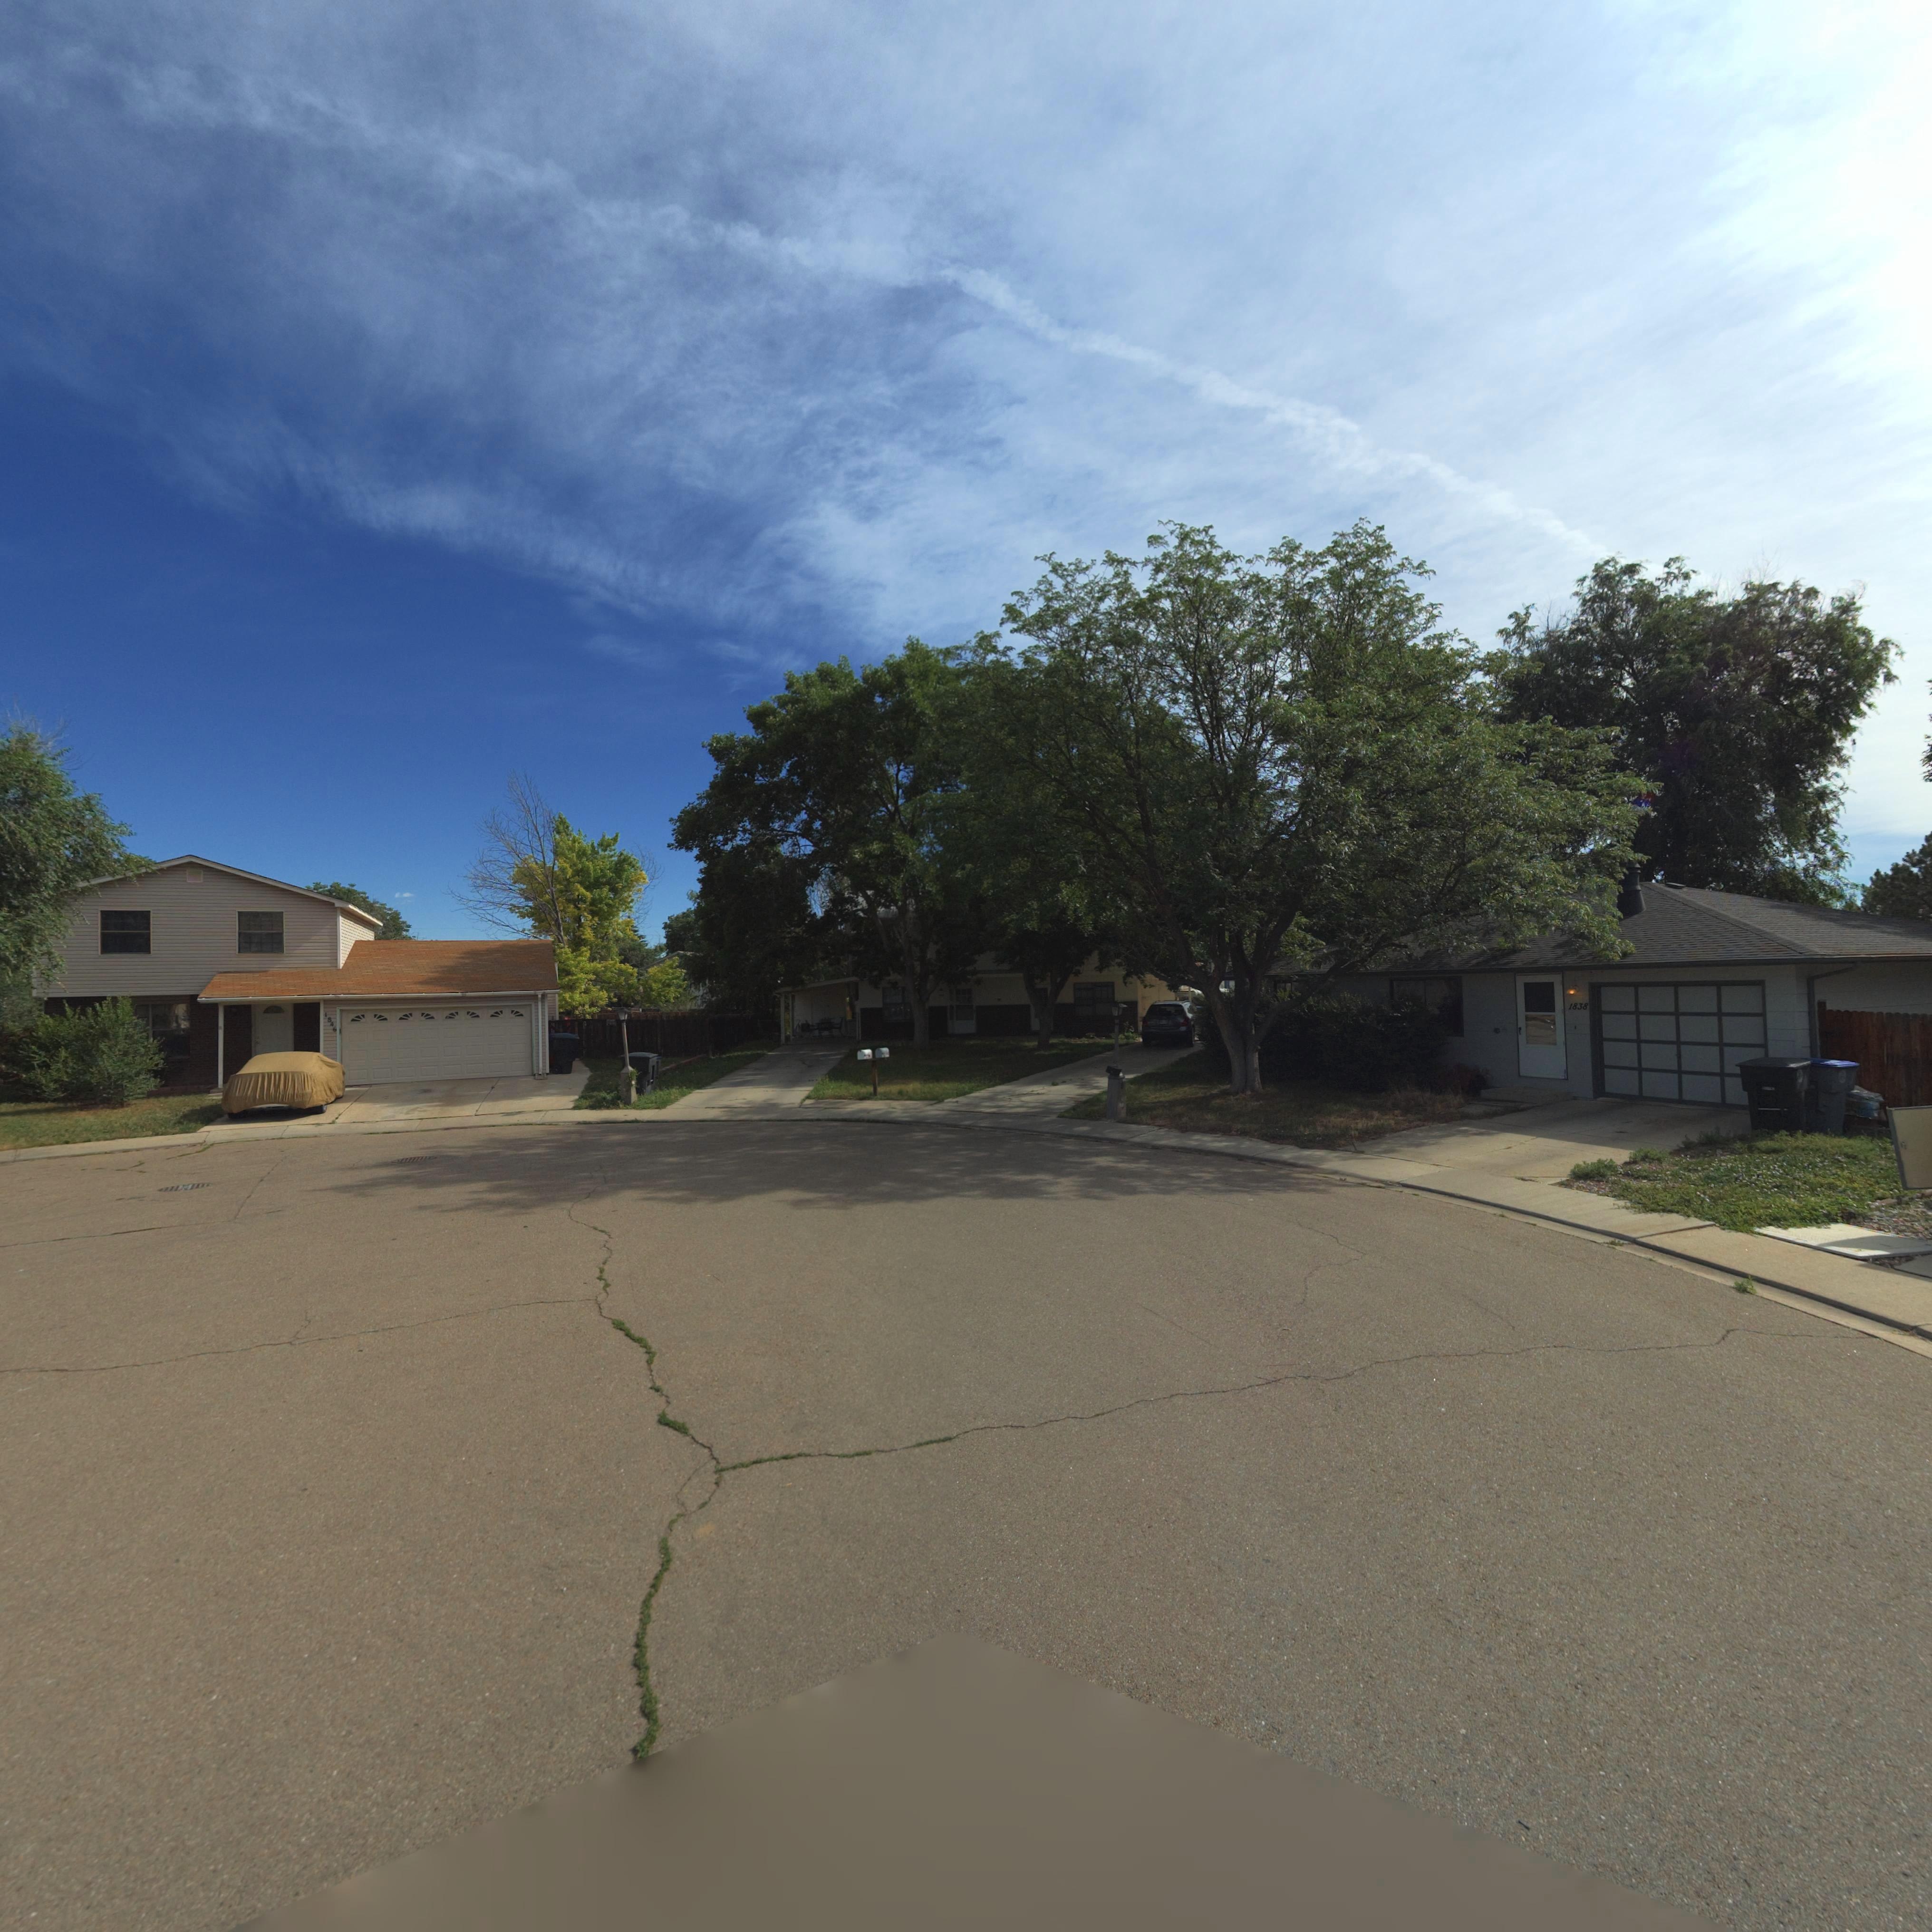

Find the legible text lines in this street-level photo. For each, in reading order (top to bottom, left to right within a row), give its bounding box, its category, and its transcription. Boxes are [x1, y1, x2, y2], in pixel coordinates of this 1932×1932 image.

[1567, 1002, 1588, 1010] StreetNumber: 1838
[324, 1011, 337, 1032] StreetNumber: 1846